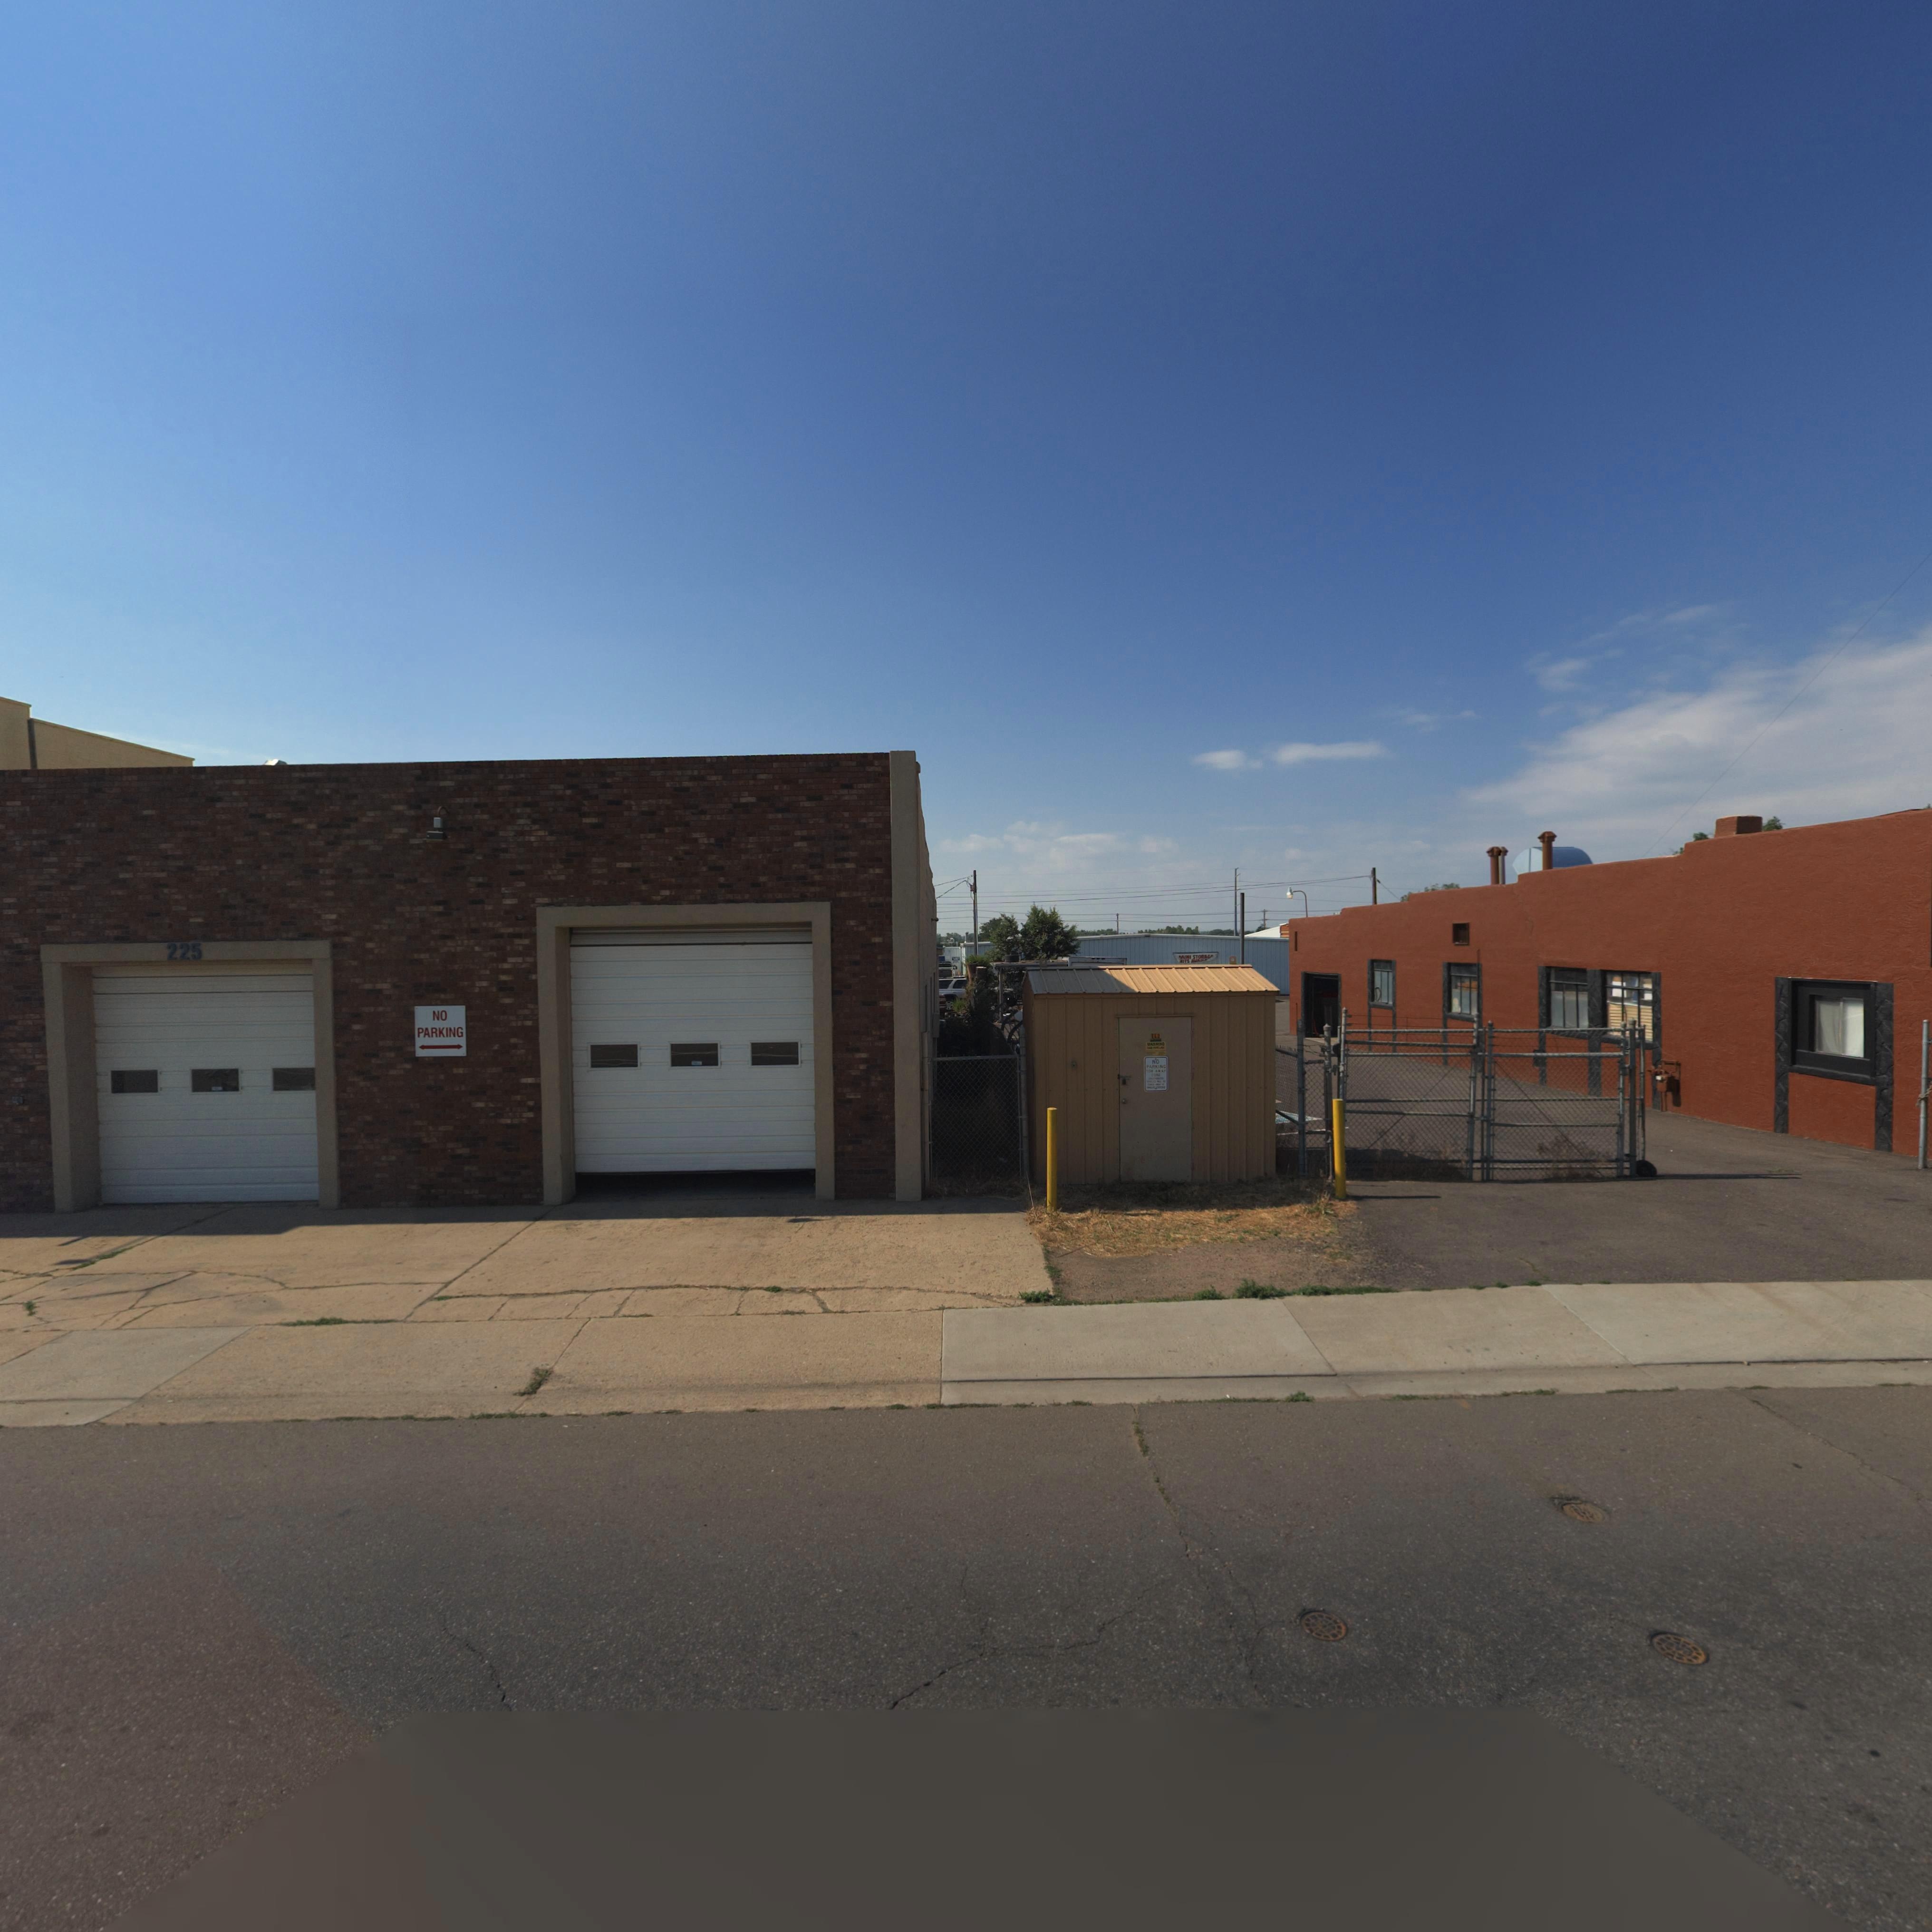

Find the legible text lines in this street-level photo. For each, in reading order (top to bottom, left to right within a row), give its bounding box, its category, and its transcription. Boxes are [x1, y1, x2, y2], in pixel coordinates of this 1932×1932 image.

[165, 941, 203, 961] StreetNumber: 225